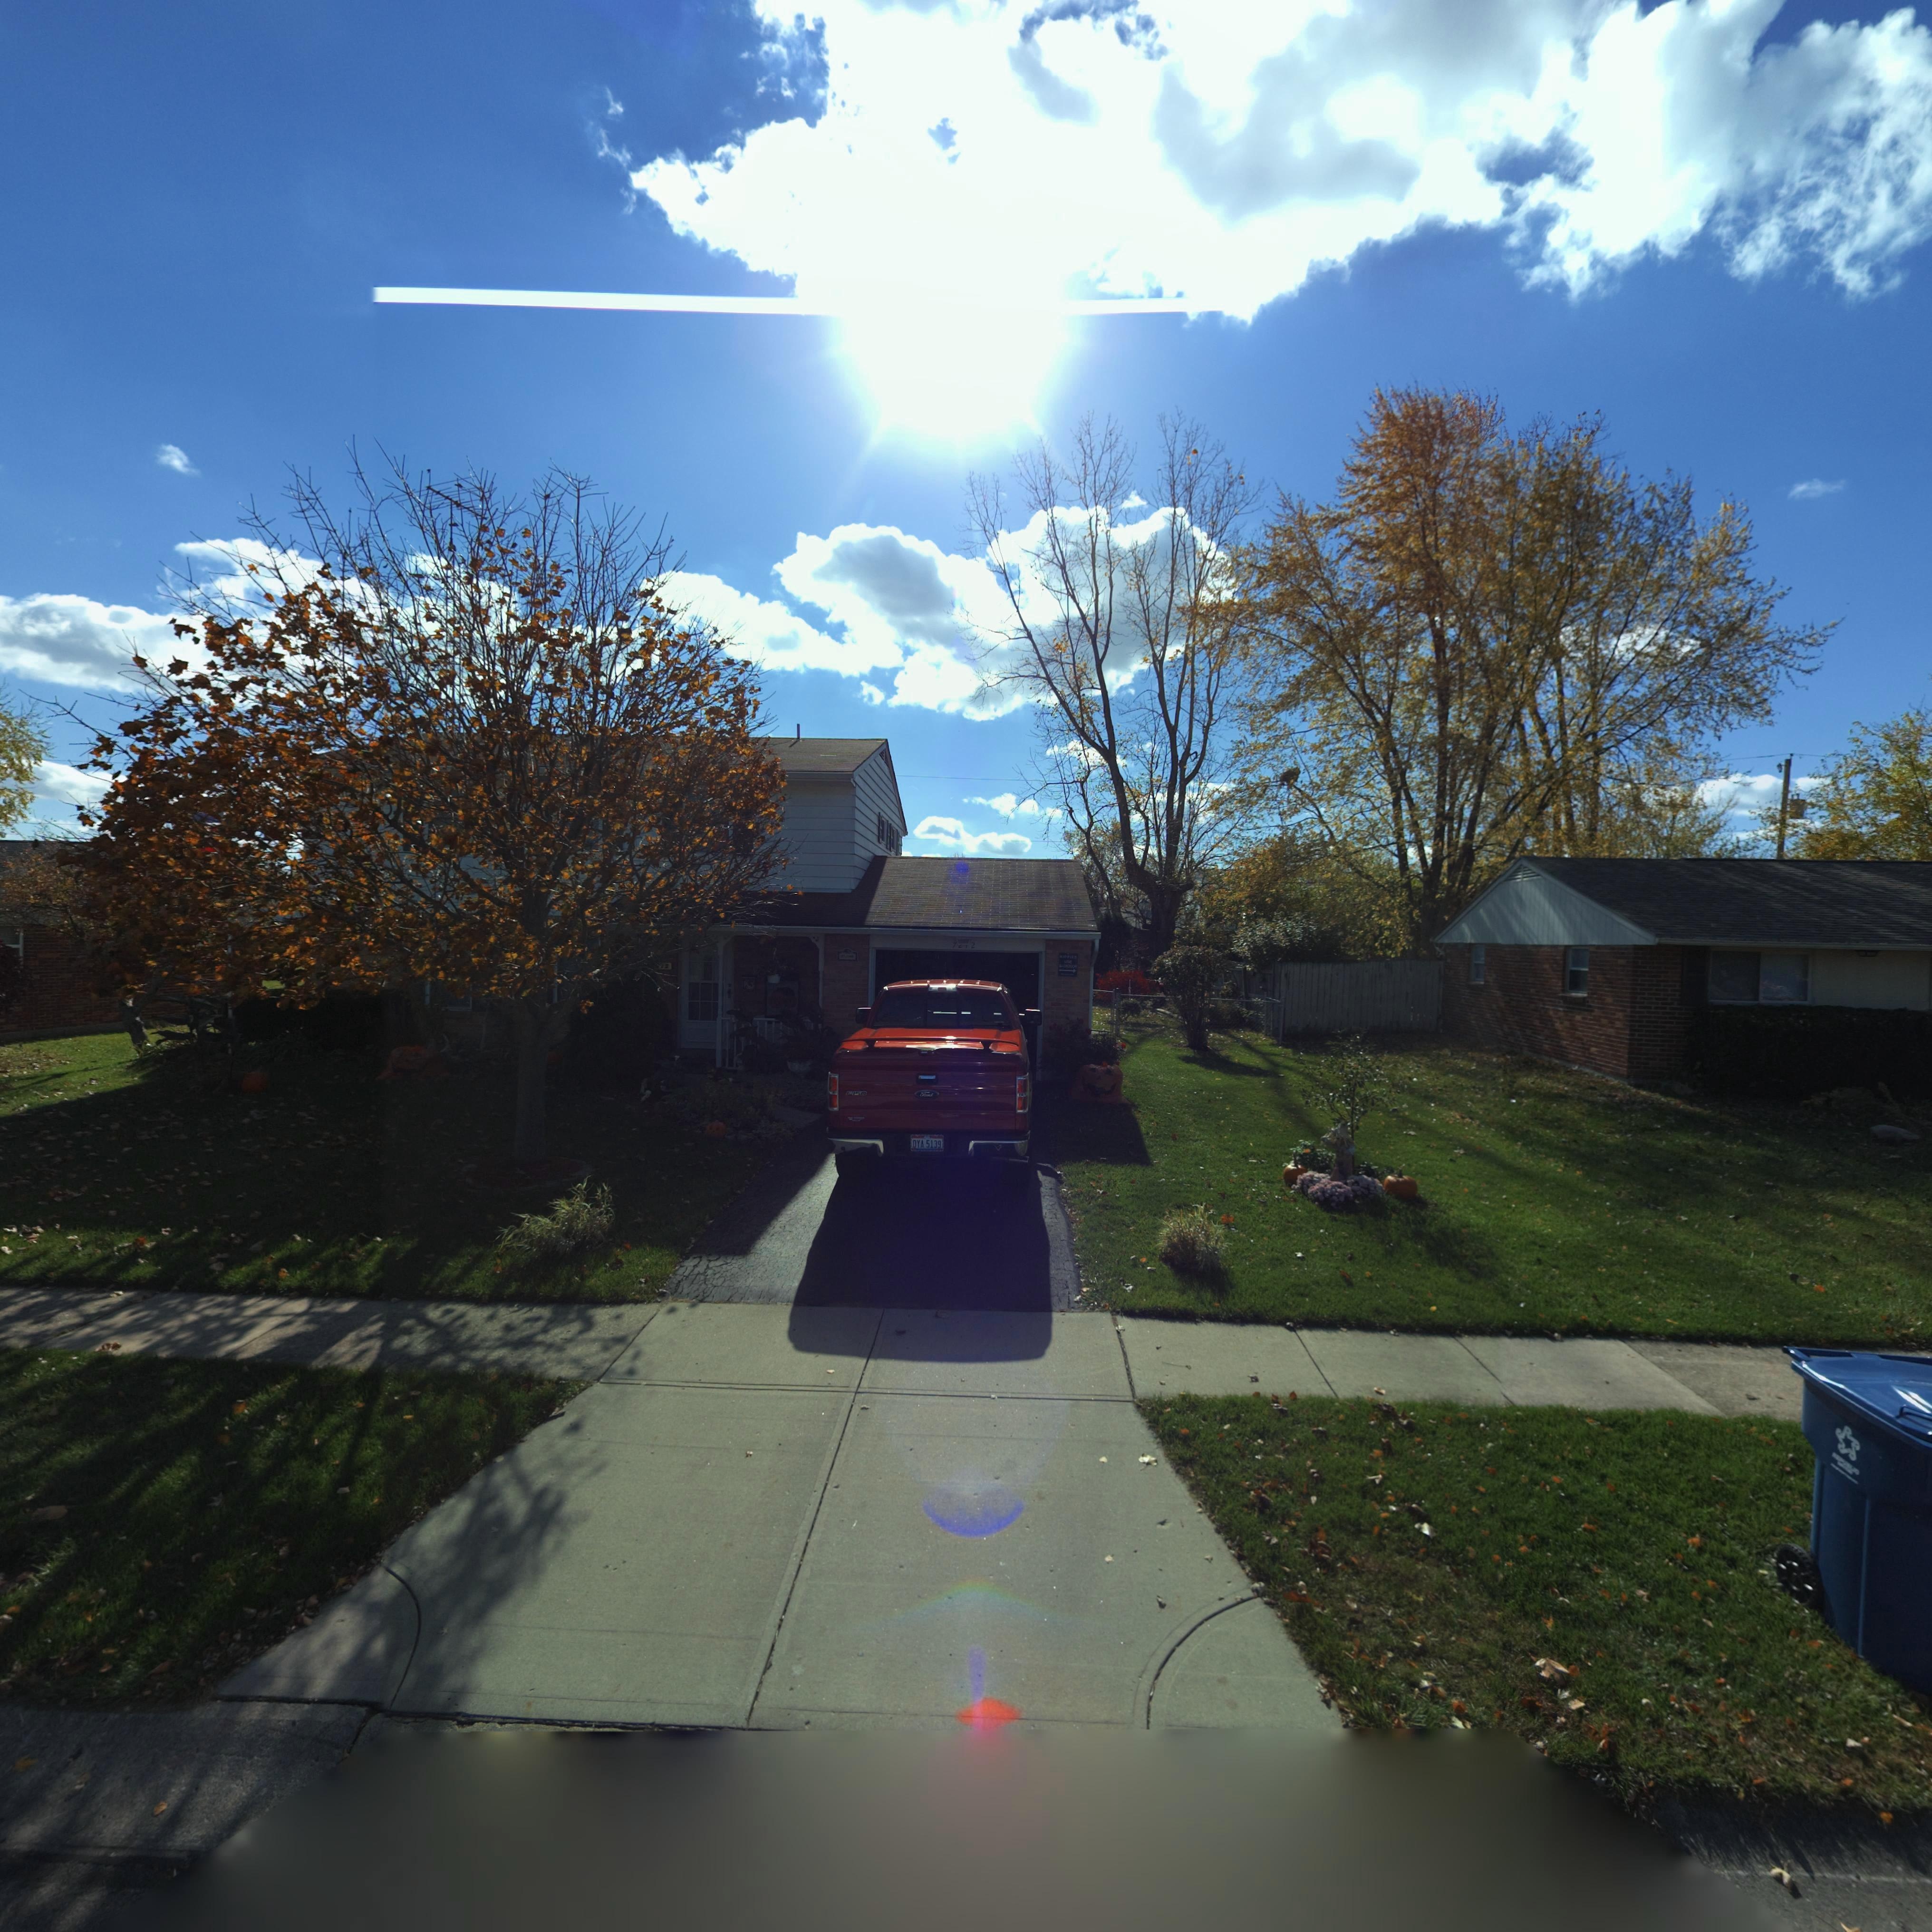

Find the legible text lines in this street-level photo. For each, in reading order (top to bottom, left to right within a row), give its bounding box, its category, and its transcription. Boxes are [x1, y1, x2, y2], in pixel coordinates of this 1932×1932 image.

[952, 941, 976, 949] StreetNumber: 7**2